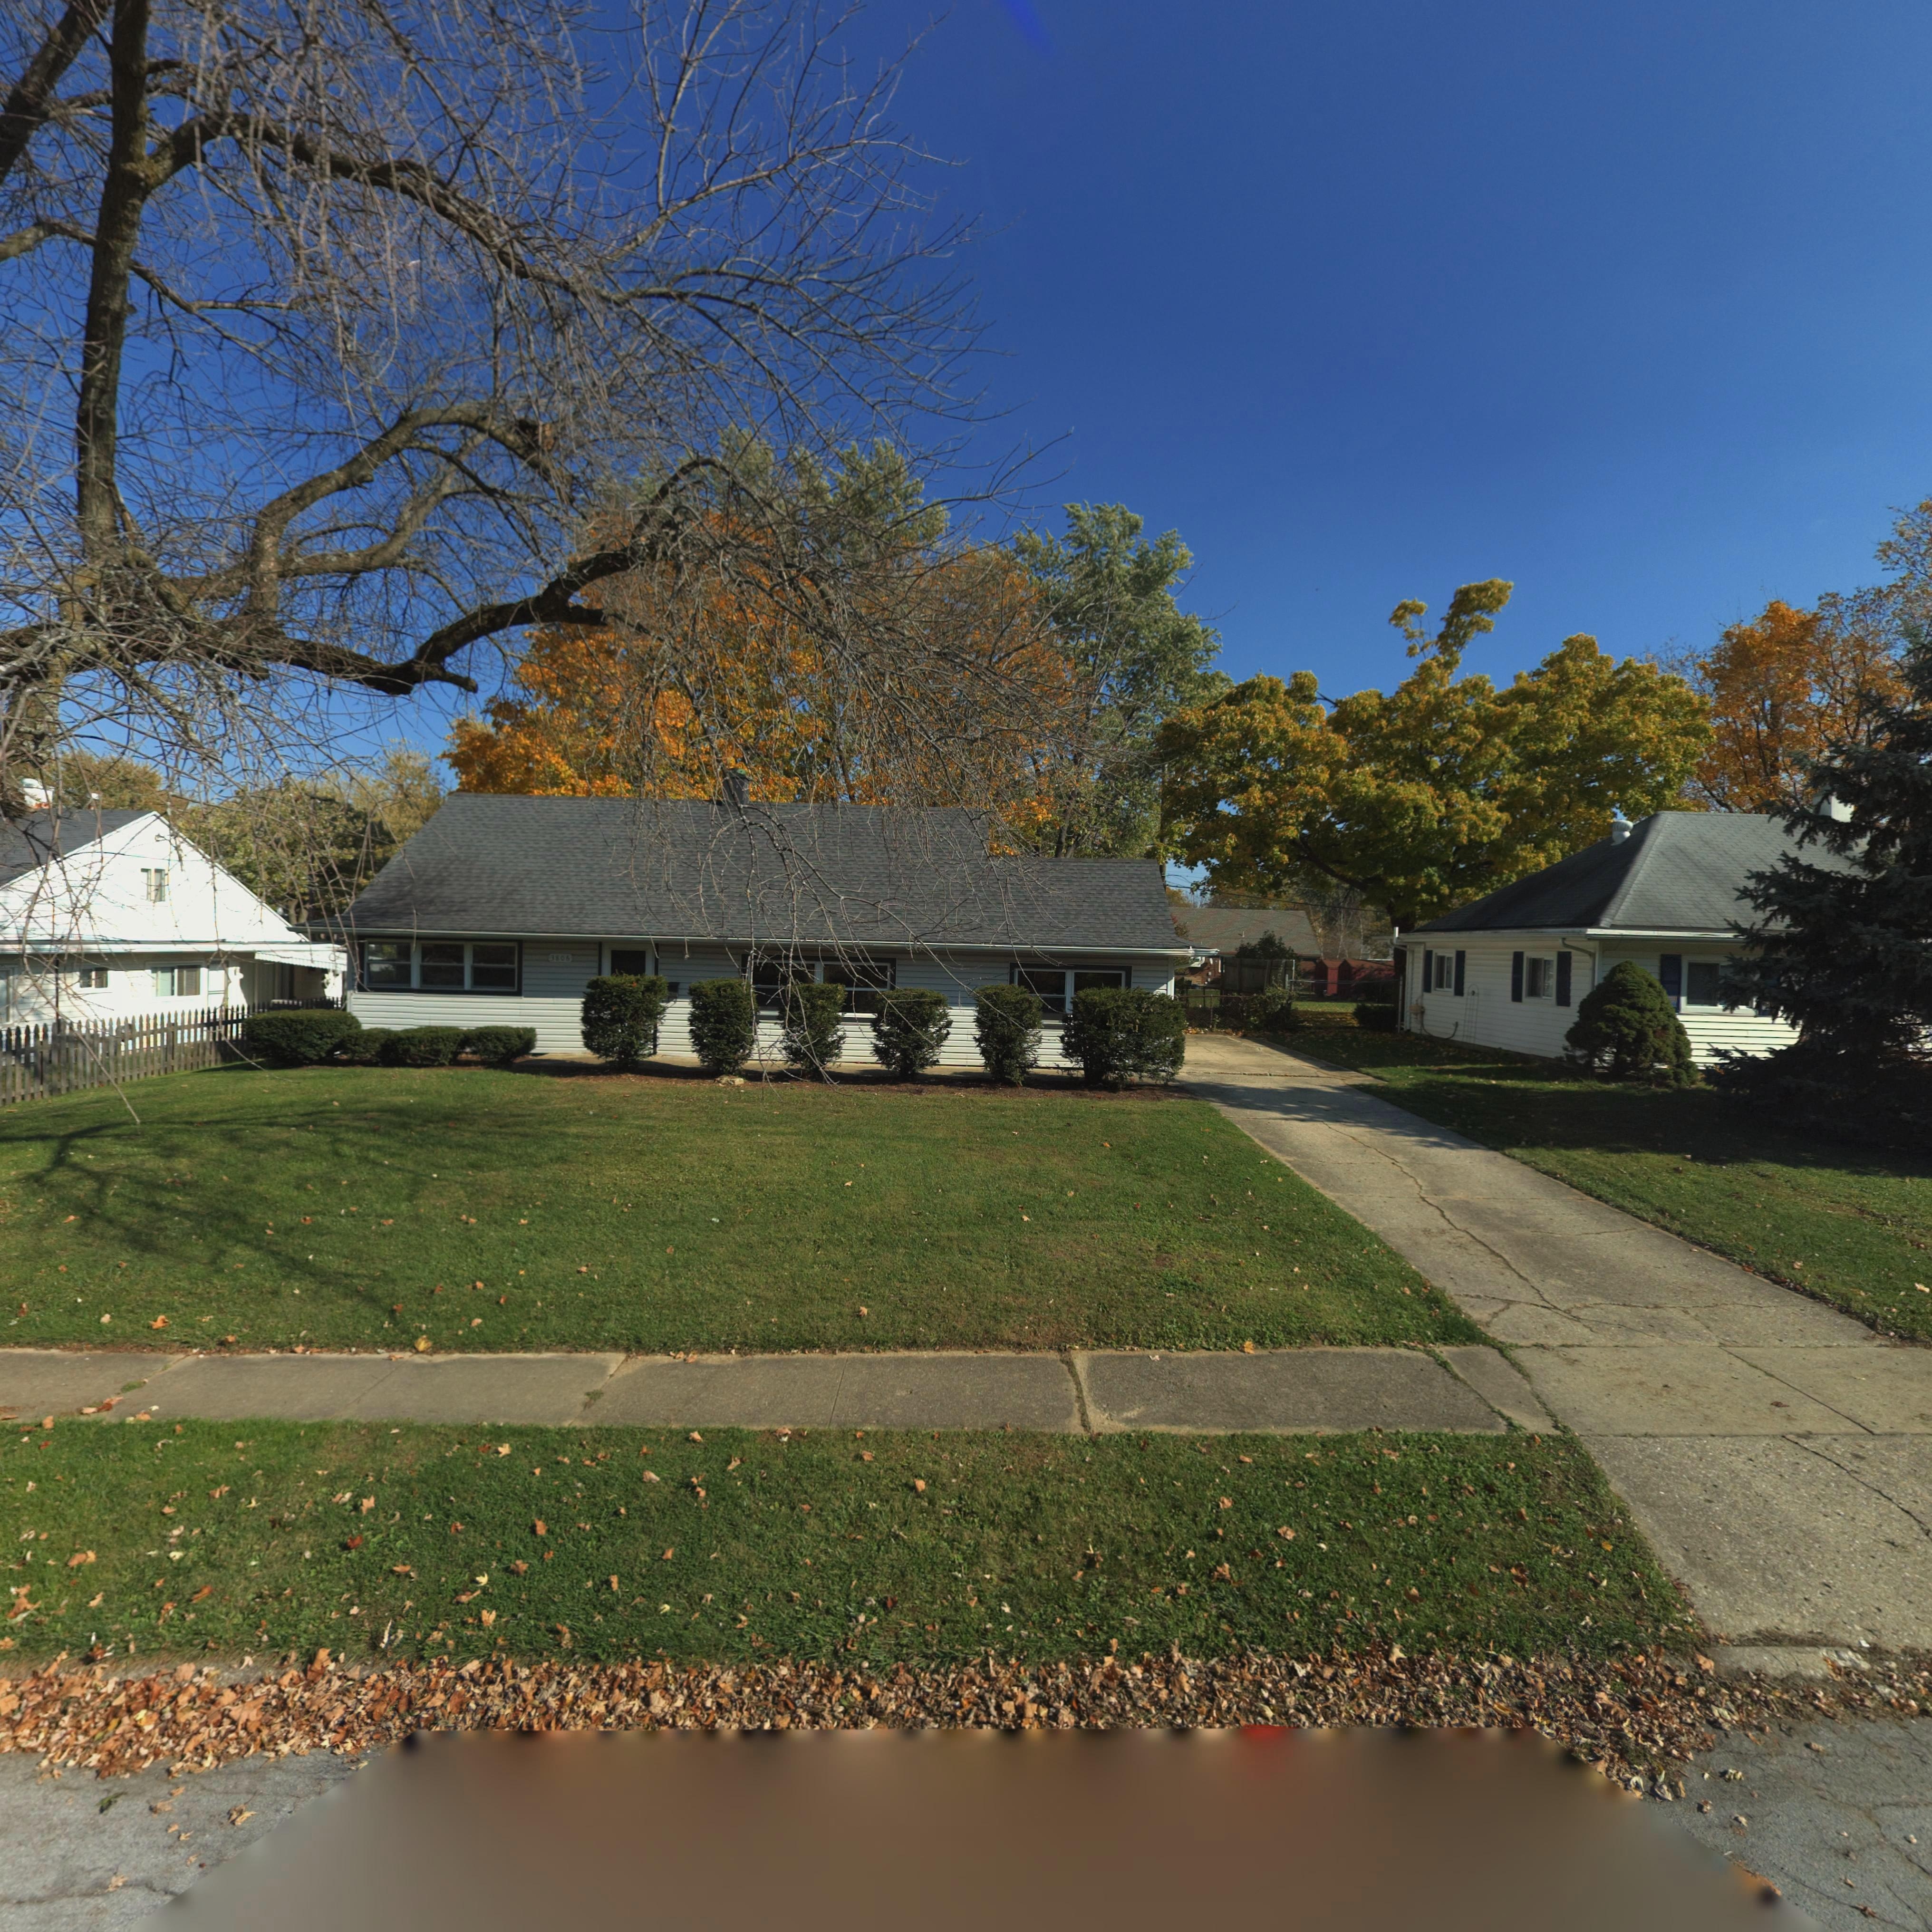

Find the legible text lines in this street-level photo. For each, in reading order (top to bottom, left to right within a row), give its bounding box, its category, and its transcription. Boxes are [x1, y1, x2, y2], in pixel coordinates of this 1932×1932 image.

[550, 955, 570, 961] StreetNumber: 3806